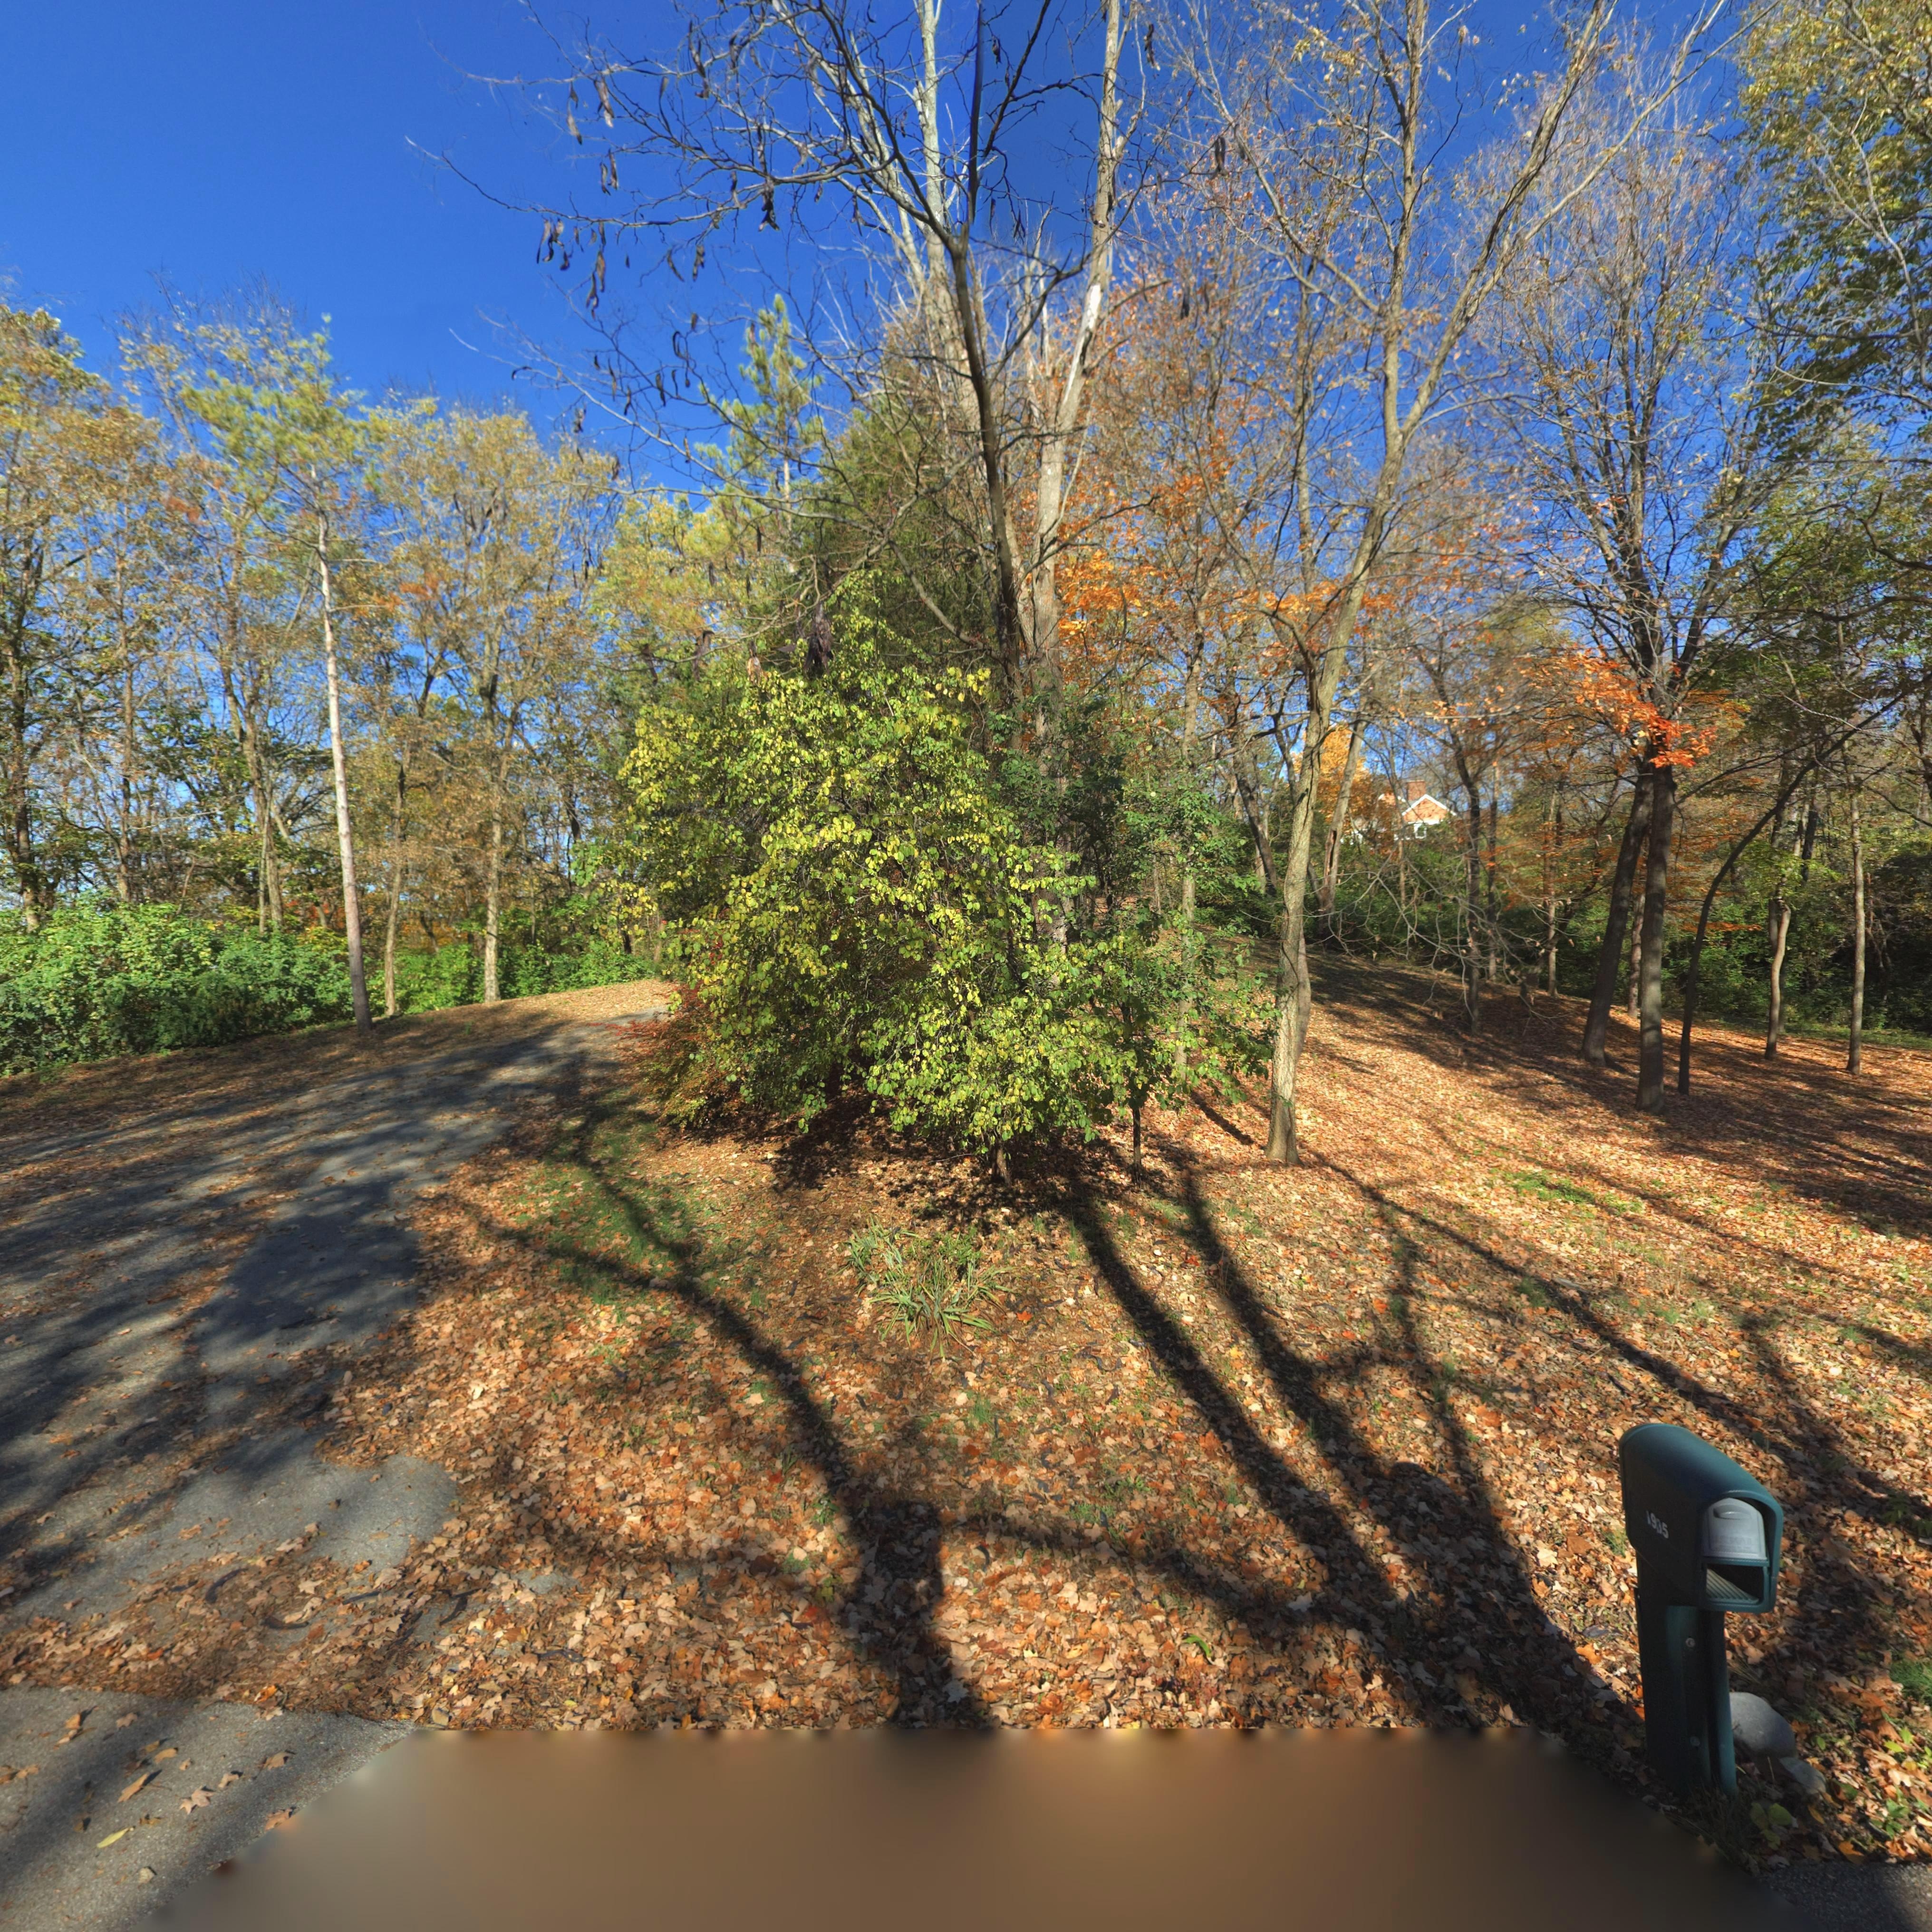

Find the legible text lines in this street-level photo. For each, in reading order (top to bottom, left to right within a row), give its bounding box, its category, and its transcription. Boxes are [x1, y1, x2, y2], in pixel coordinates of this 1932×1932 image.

[1644, 1508, 1670, 1540] StreetNumber: 1935